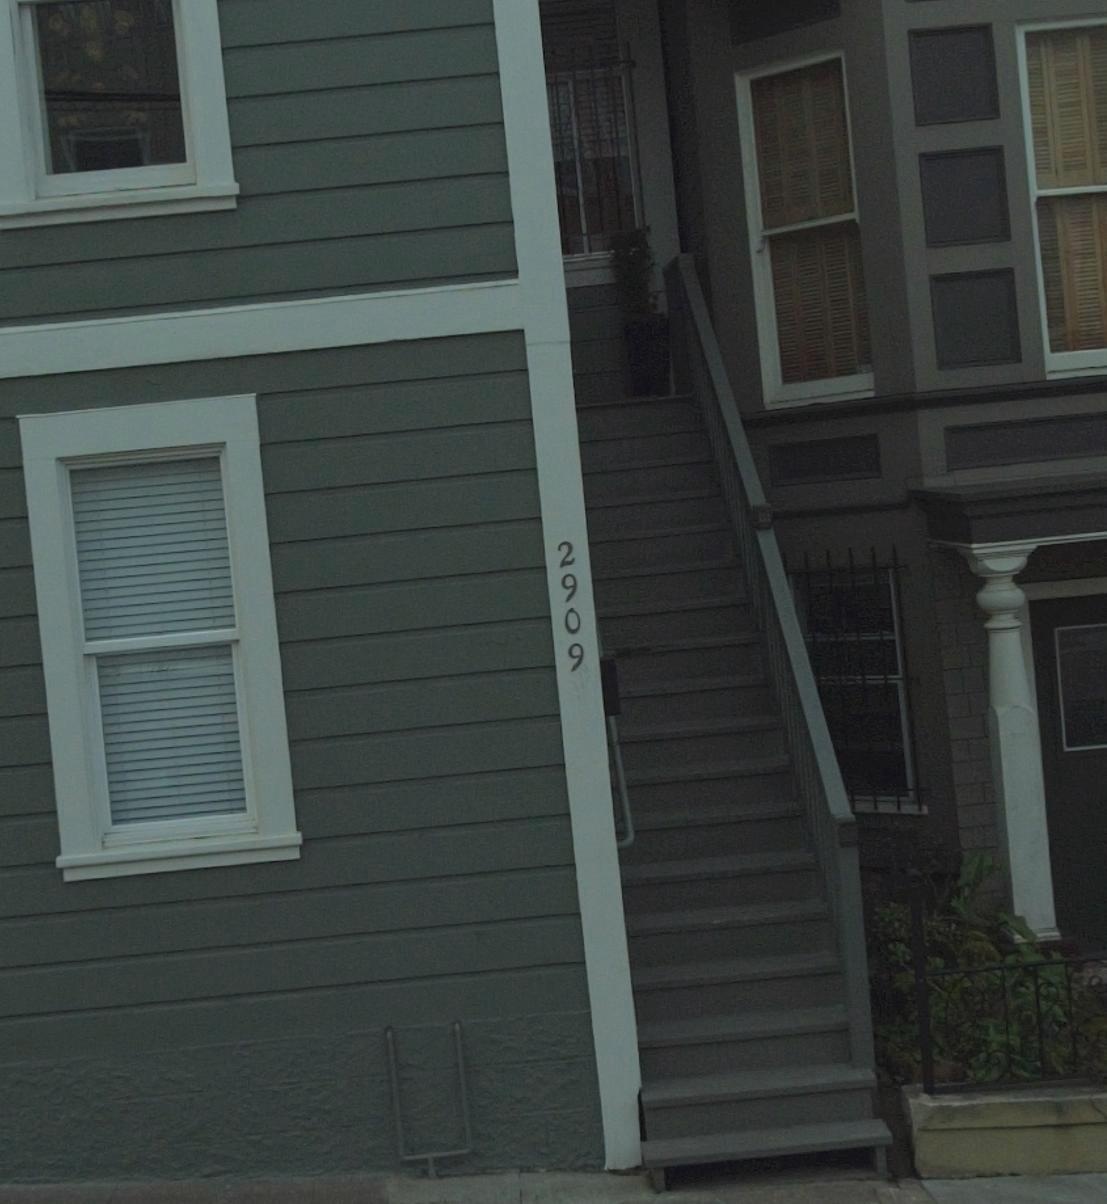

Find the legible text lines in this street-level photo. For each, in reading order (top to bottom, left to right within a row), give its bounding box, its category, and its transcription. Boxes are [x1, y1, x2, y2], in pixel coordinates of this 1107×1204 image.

[553, 538, 587, 676] StreetNumber: 2909